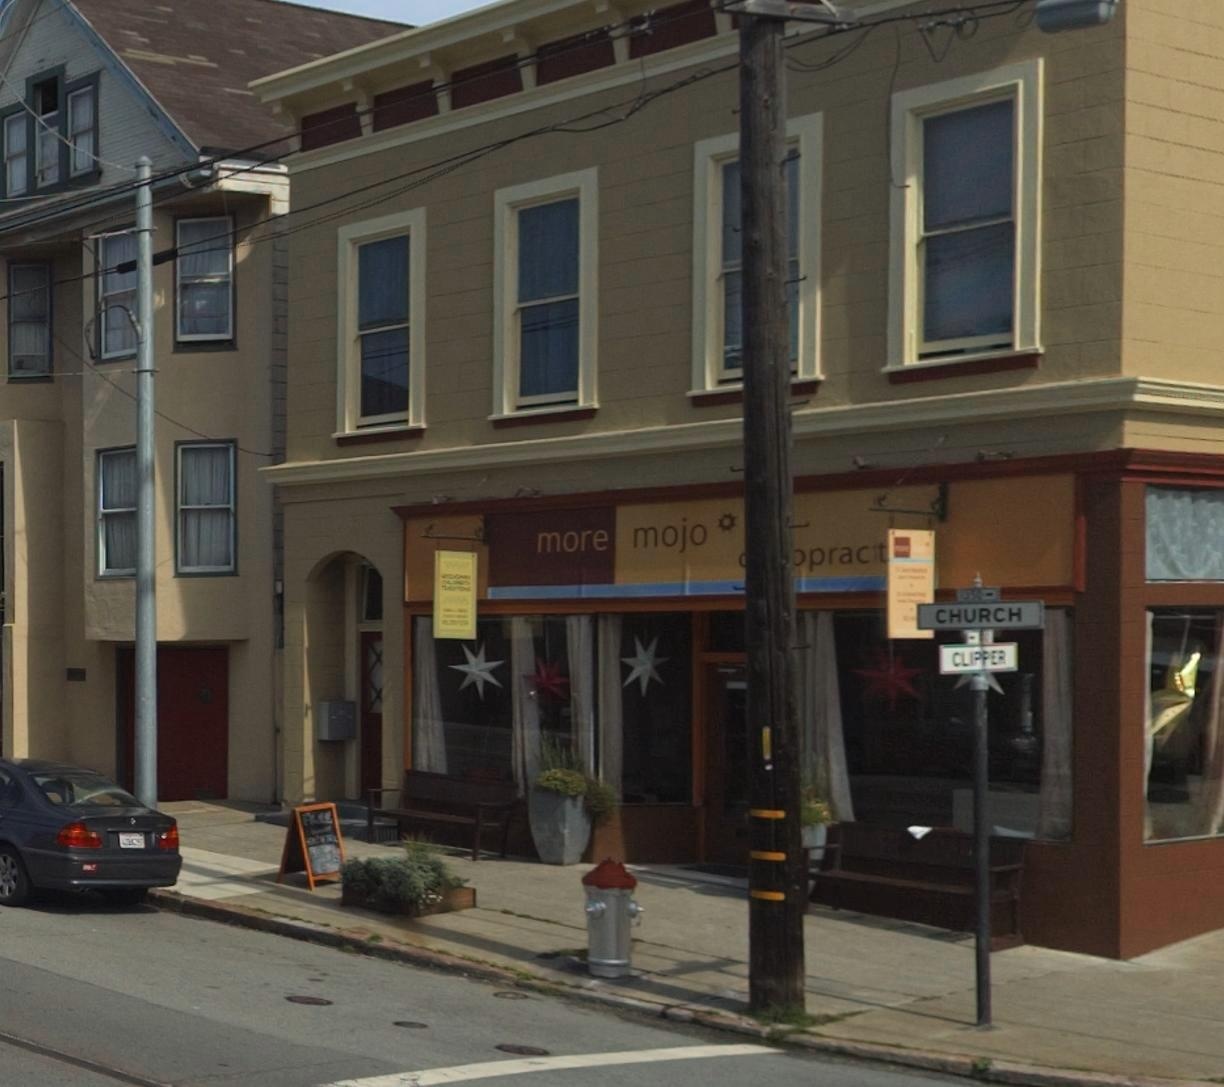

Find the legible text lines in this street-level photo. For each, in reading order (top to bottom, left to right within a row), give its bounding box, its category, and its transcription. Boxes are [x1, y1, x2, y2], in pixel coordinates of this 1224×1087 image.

[536, 515, 708, 555] BusinessName: more mojo
[808, 539, 888, 575] None: pract
[958, 589, 996, 602] StreetNumberRange: 1350->
[934, 605, 1023, 624] StreetName: CHURCH
[950, 648, 1008, 667] StreetName: CLIPPER
[301, 810, 334, 828] None: FREE